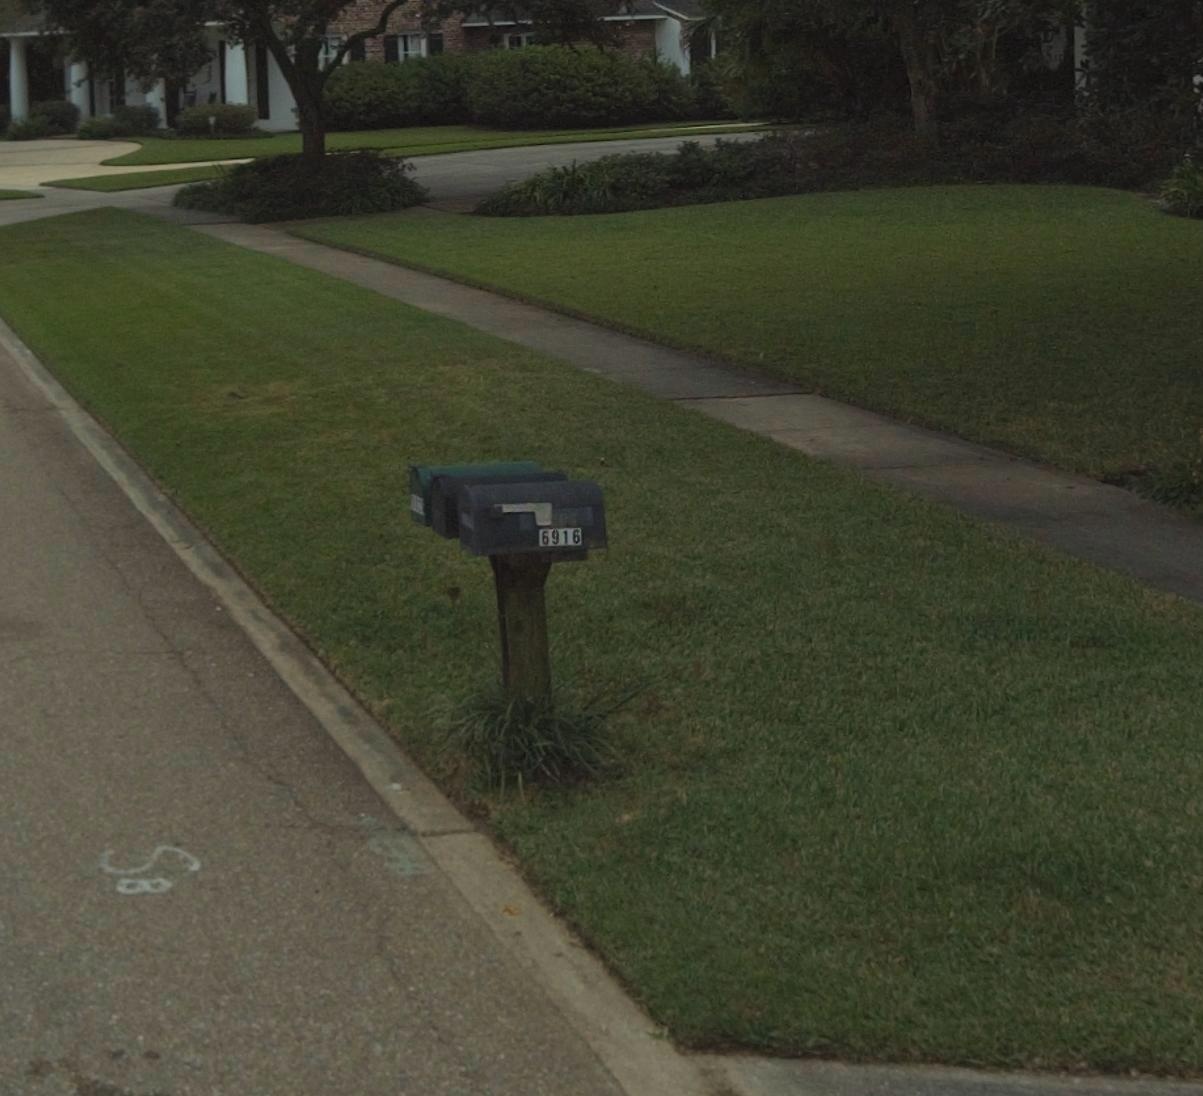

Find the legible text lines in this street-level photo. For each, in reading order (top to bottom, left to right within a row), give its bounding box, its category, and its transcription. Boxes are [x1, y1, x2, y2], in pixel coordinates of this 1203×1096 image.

[540, 528, 582, 547] StreetNumber: 6916